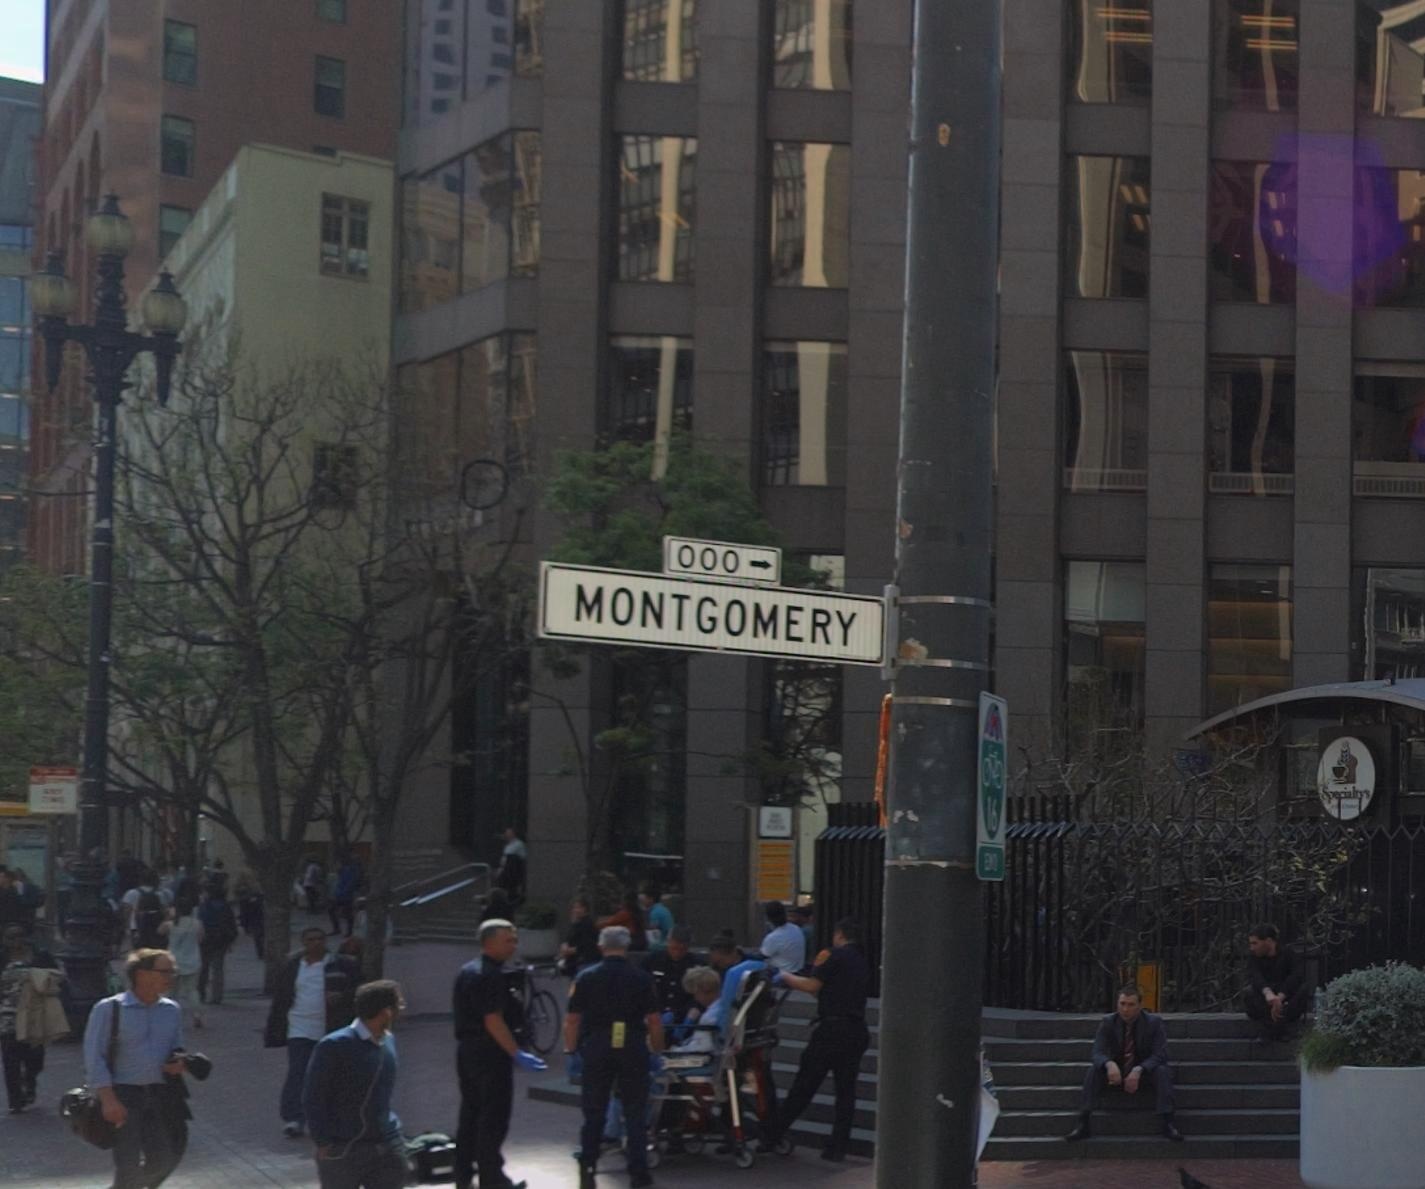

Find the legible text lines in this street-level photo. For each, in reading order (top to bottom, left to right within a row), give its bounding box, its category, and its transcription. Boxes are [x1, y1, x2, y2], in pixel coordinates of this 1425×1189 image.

[674, 542, 775, 576] StreetNumberRange: 000->
[571, 579, 860, 650] StreetName: MONTGOMERY
[1341, 784, 1373, 802] BusinessName: ialt*'s
[985, 794, 1000, 835] None: 16